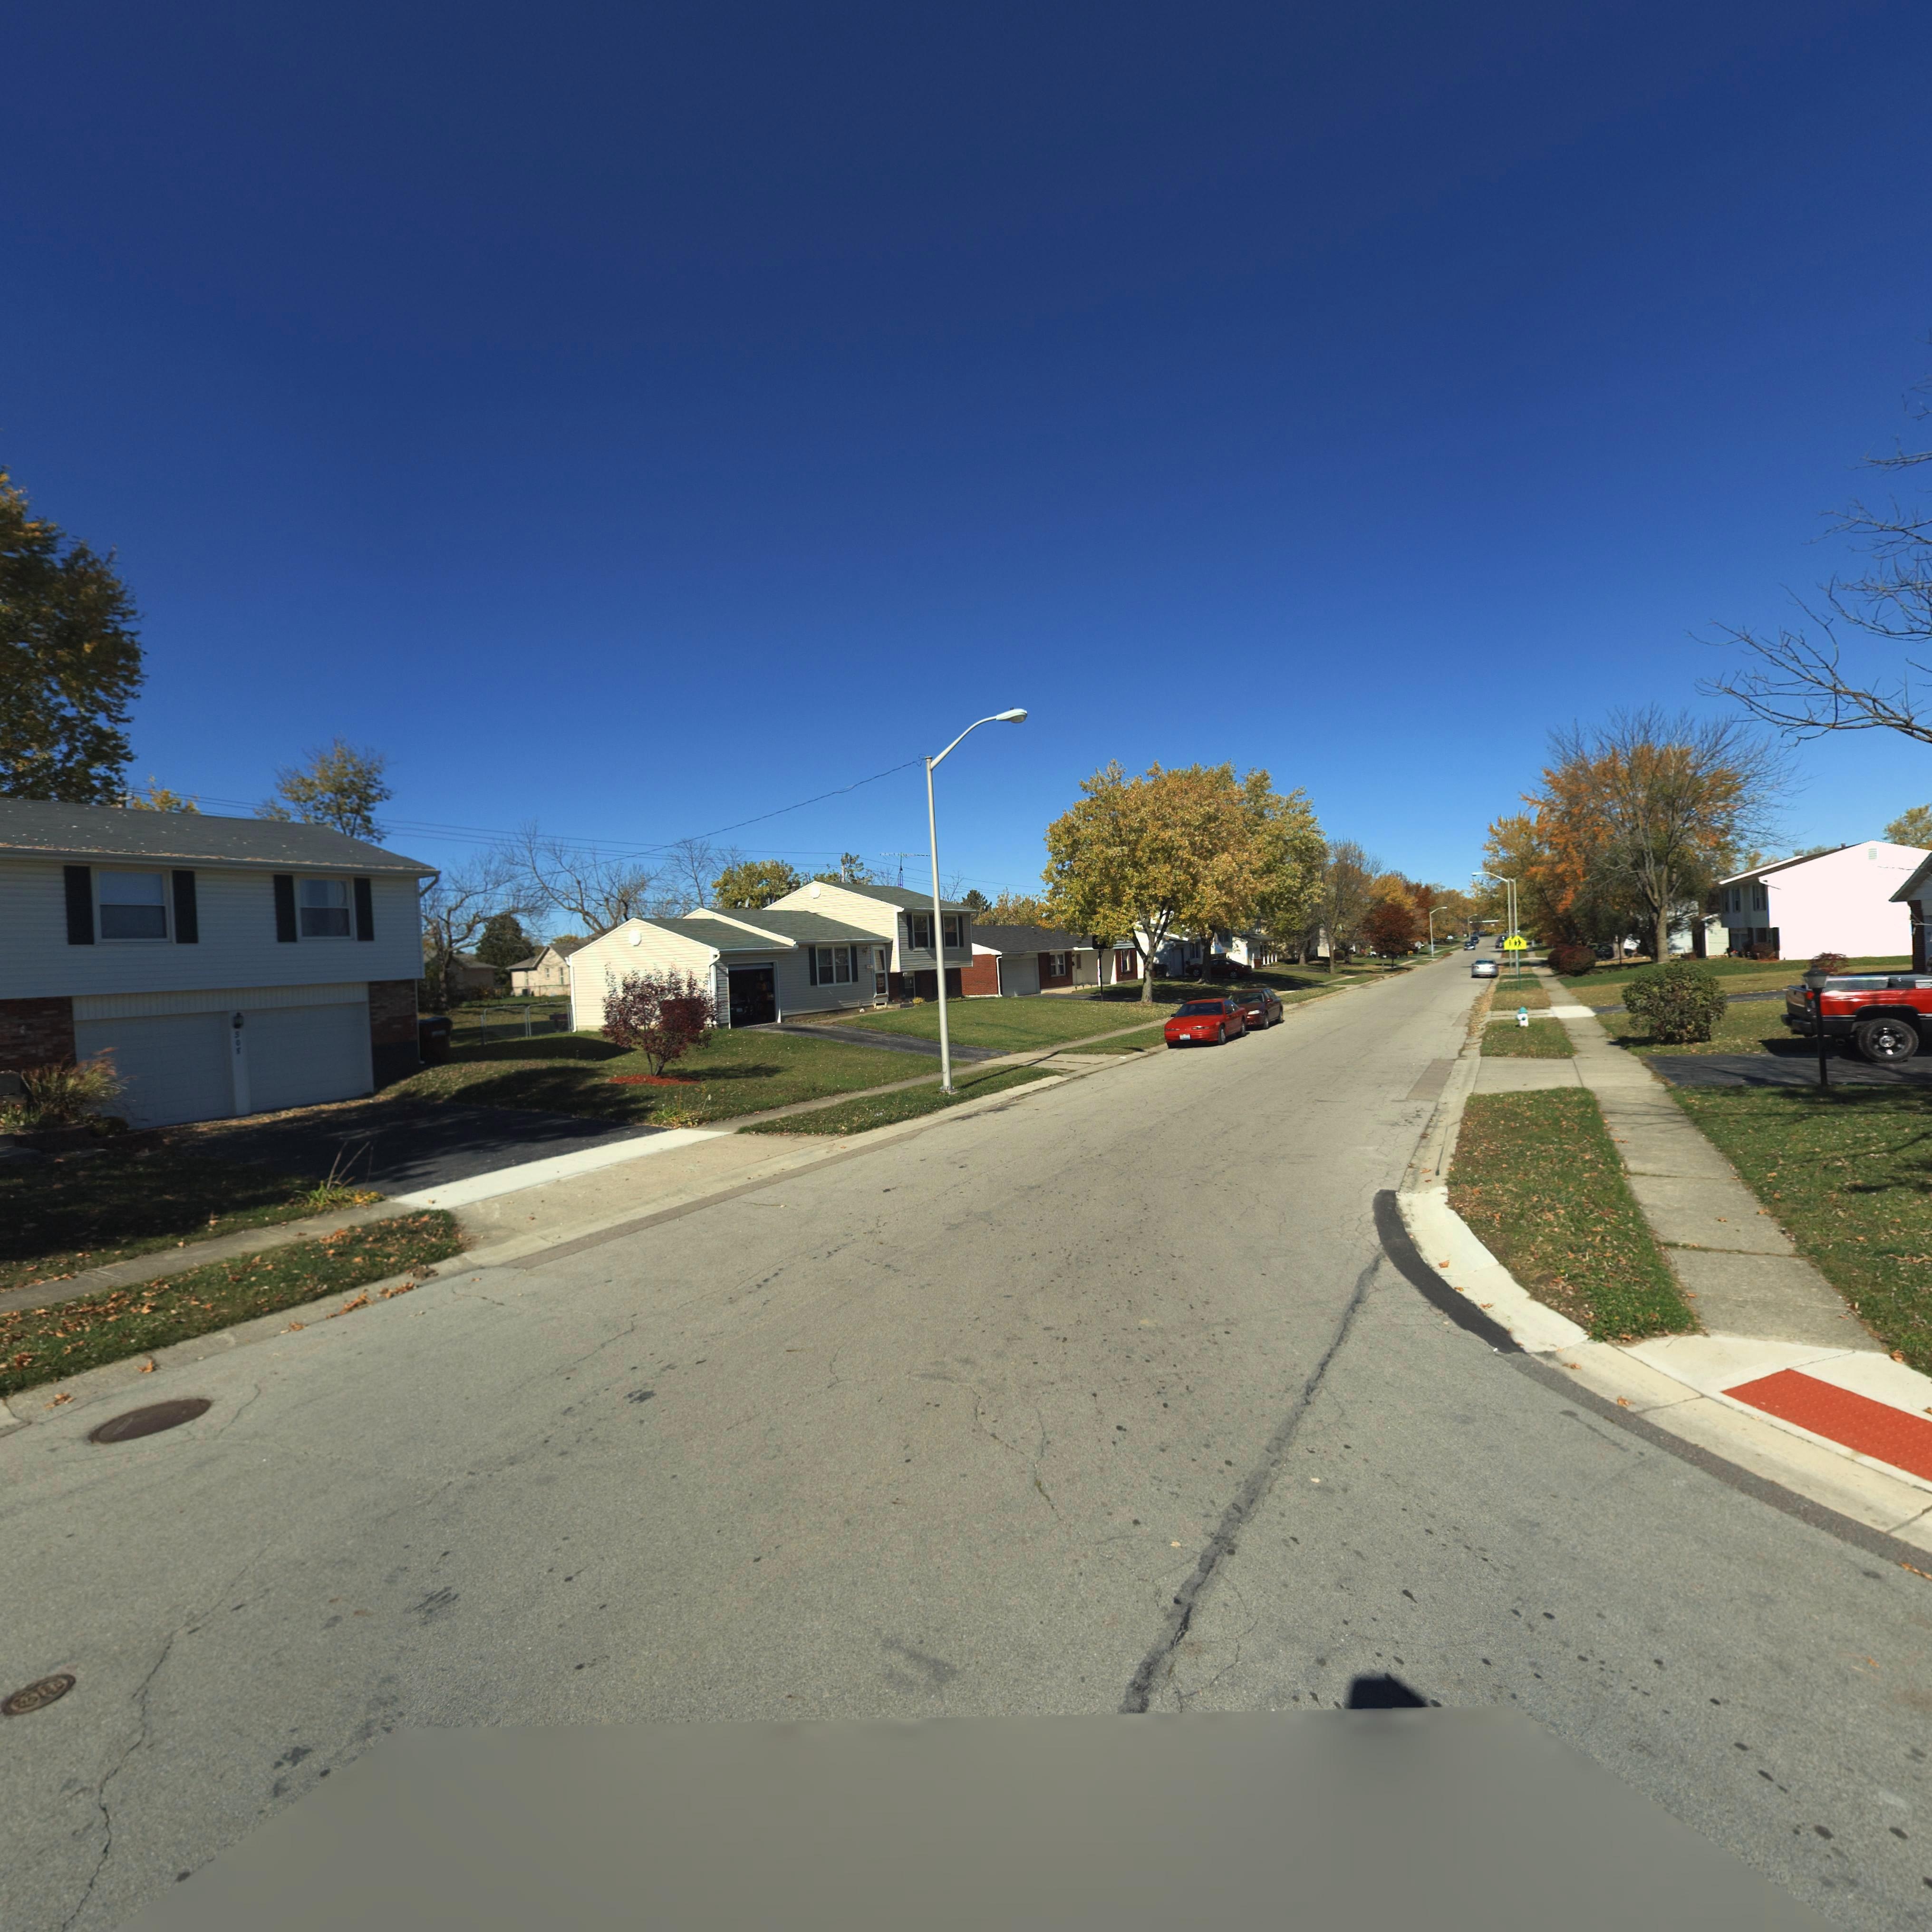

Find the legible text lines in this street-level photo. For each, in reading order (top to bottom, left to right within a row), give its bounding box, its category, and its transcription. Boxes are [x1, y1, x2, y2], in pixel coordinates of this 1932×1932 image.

[234, 1029, 242, 1055] StreetNumber: 50*